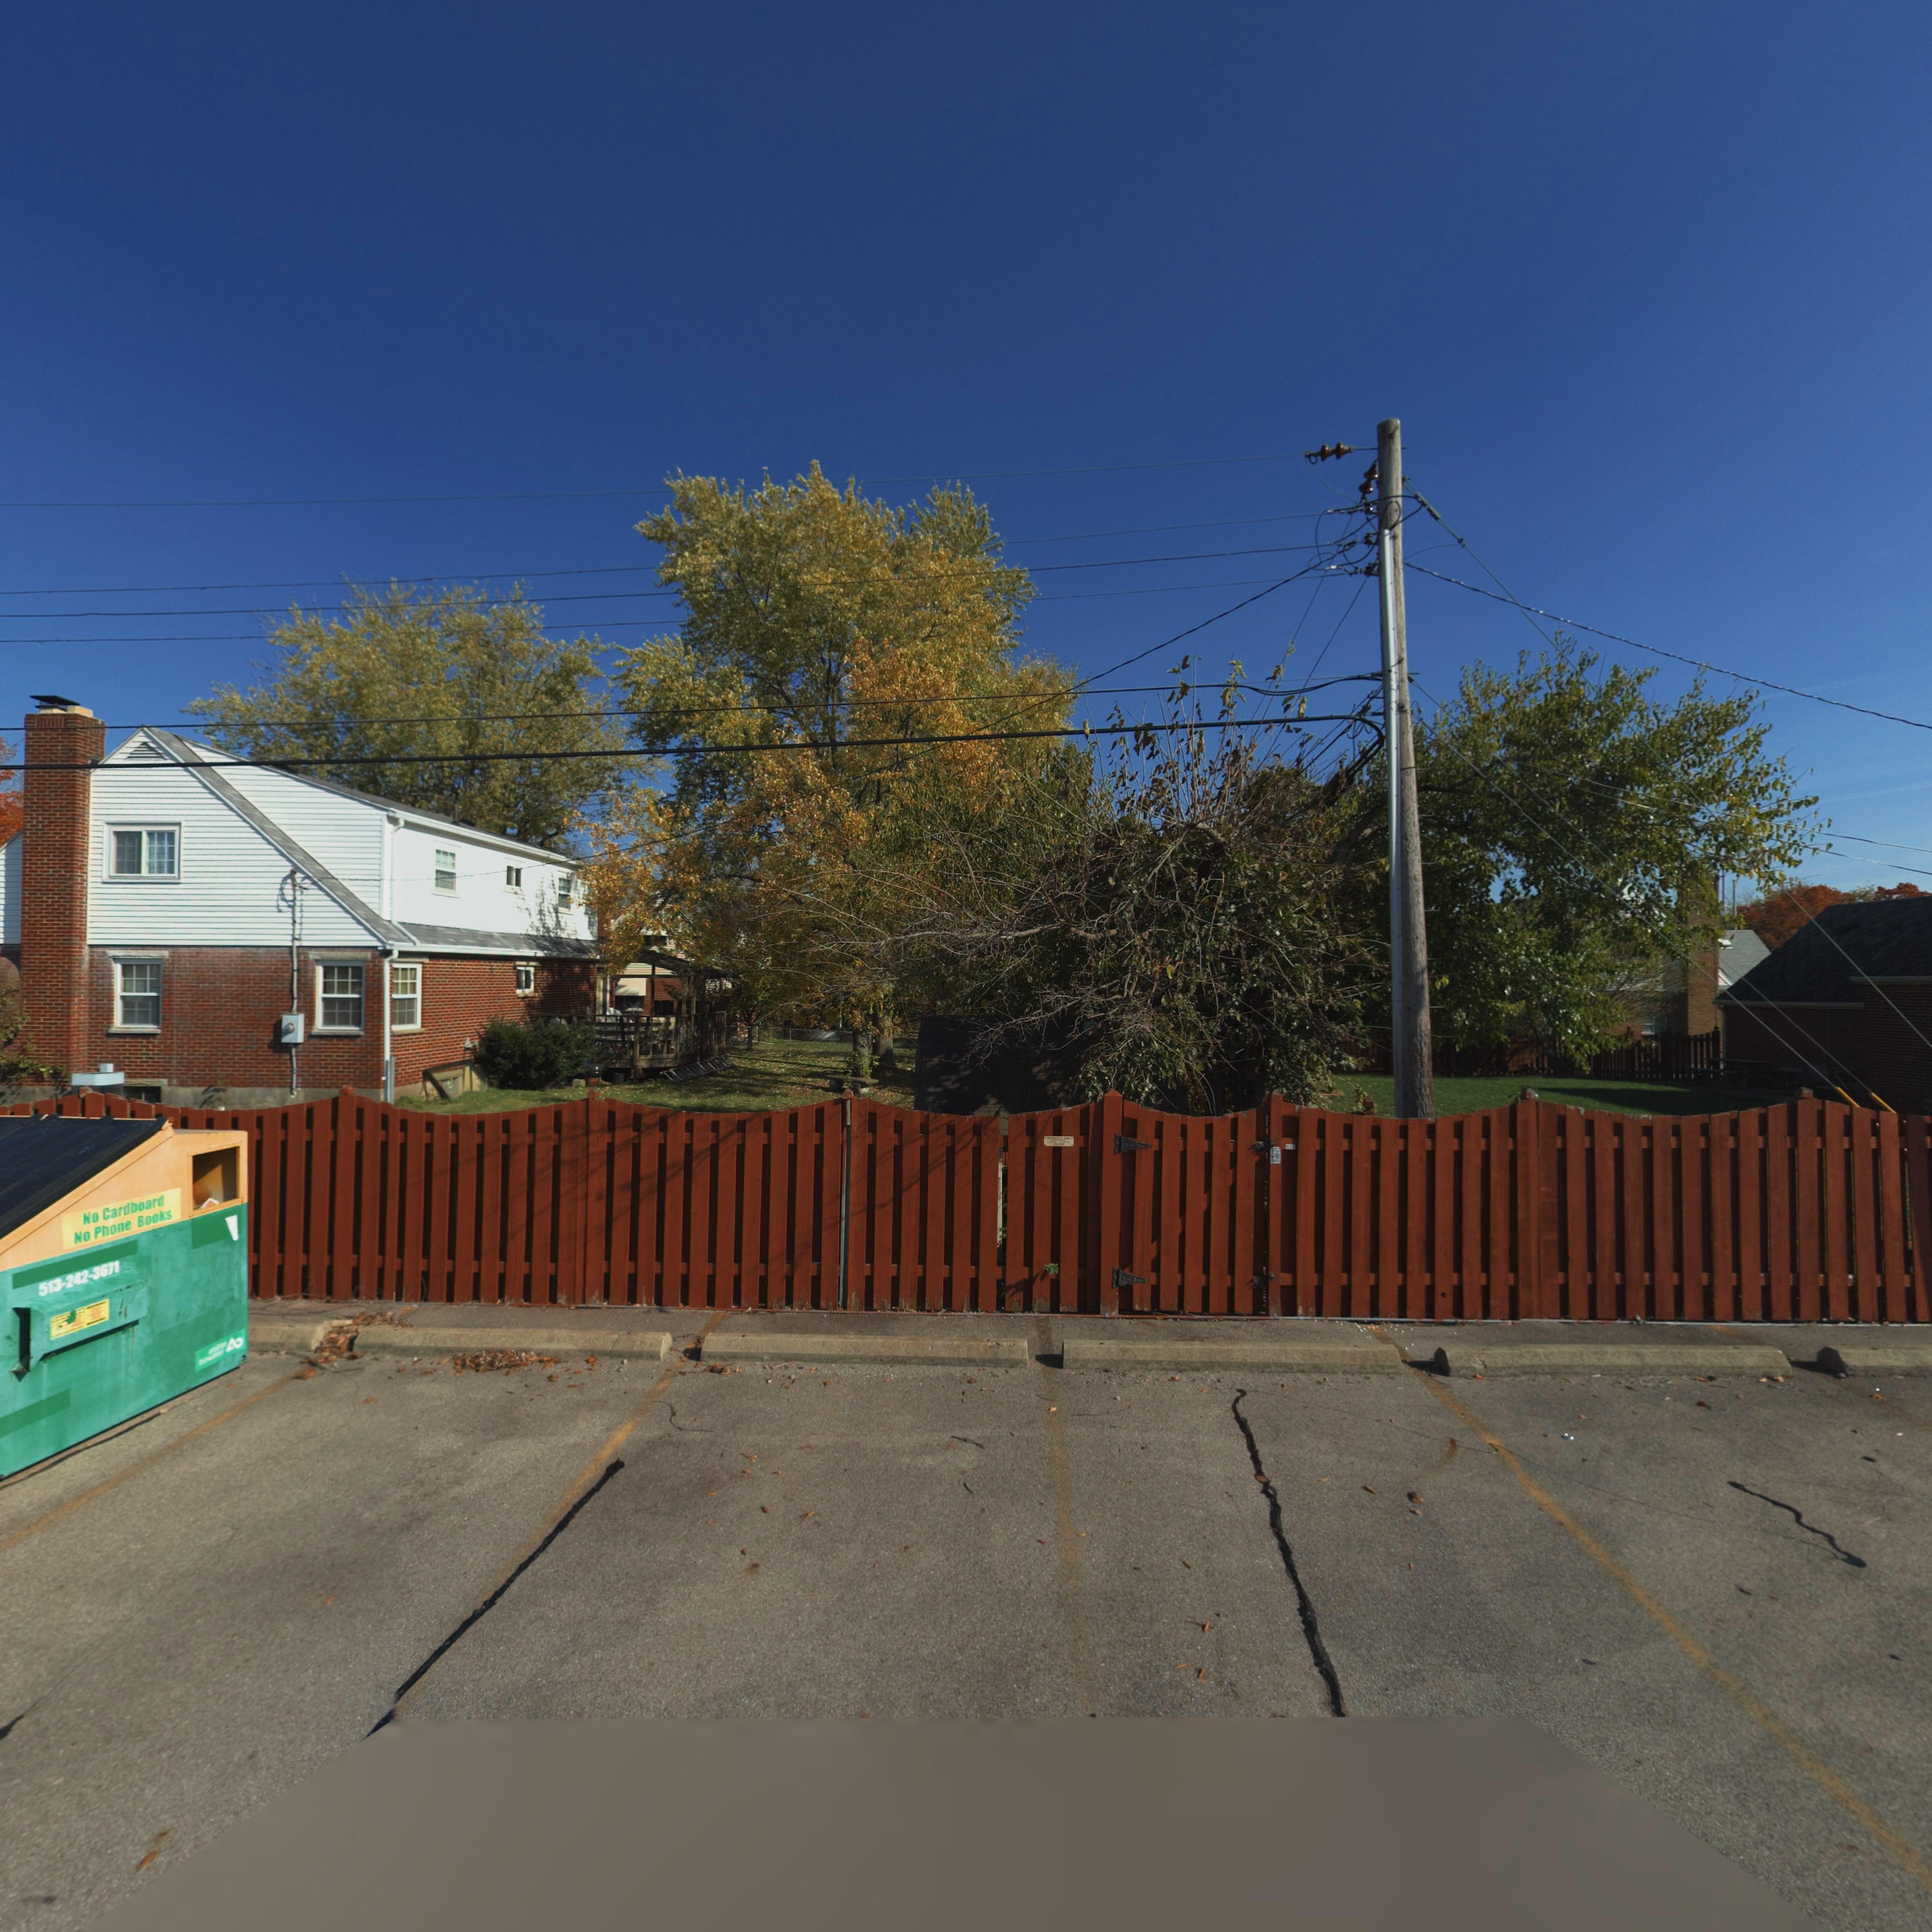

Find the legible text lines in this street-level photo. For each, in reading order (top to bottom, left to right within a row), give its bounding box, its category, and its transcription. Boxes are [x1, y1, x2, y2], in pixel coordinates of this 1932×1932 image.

[74, 1209, 173, 1246] None: No Phone Books
[82, 1194, 164, 1227] None: No Cardboard
[38, 1259, 120, 1298] None: 513-242-3671